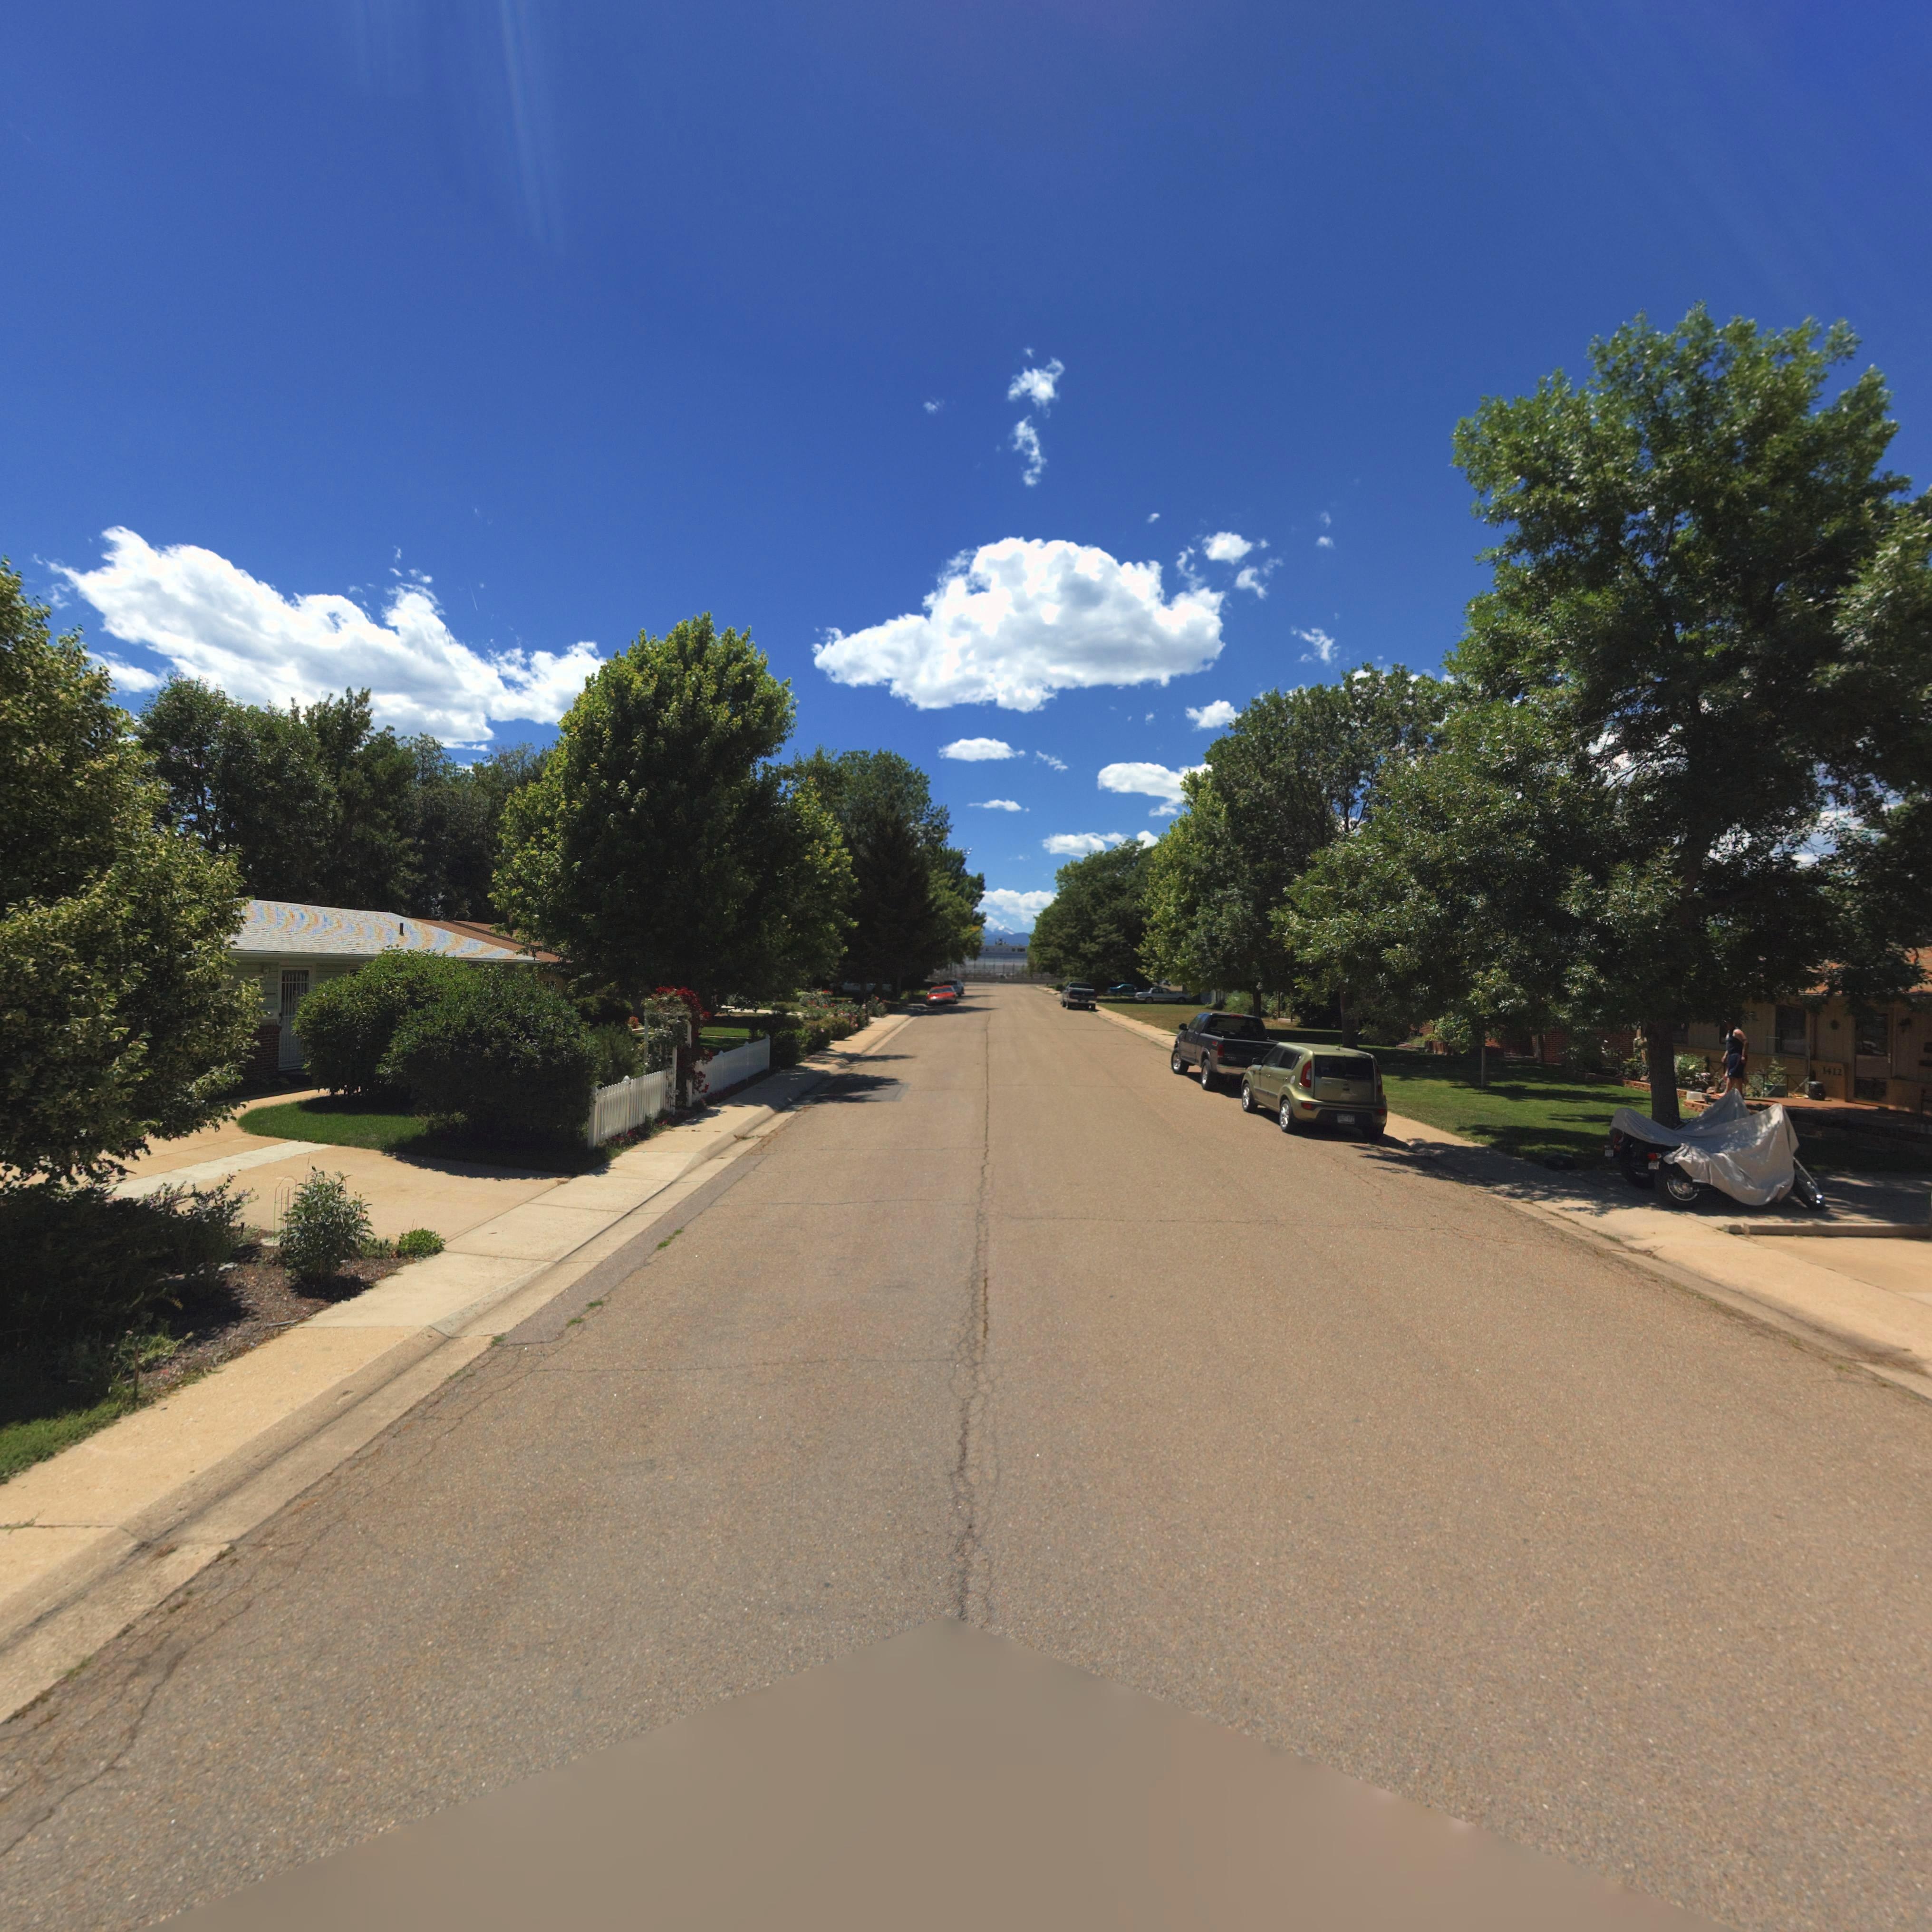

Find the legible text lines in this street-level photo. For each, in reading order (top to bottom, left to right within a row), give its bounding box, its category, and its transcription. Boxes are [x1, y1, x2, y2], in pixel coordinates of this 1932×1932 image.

[1822, 1066, 1843, 1076] StreetNumber: 1412